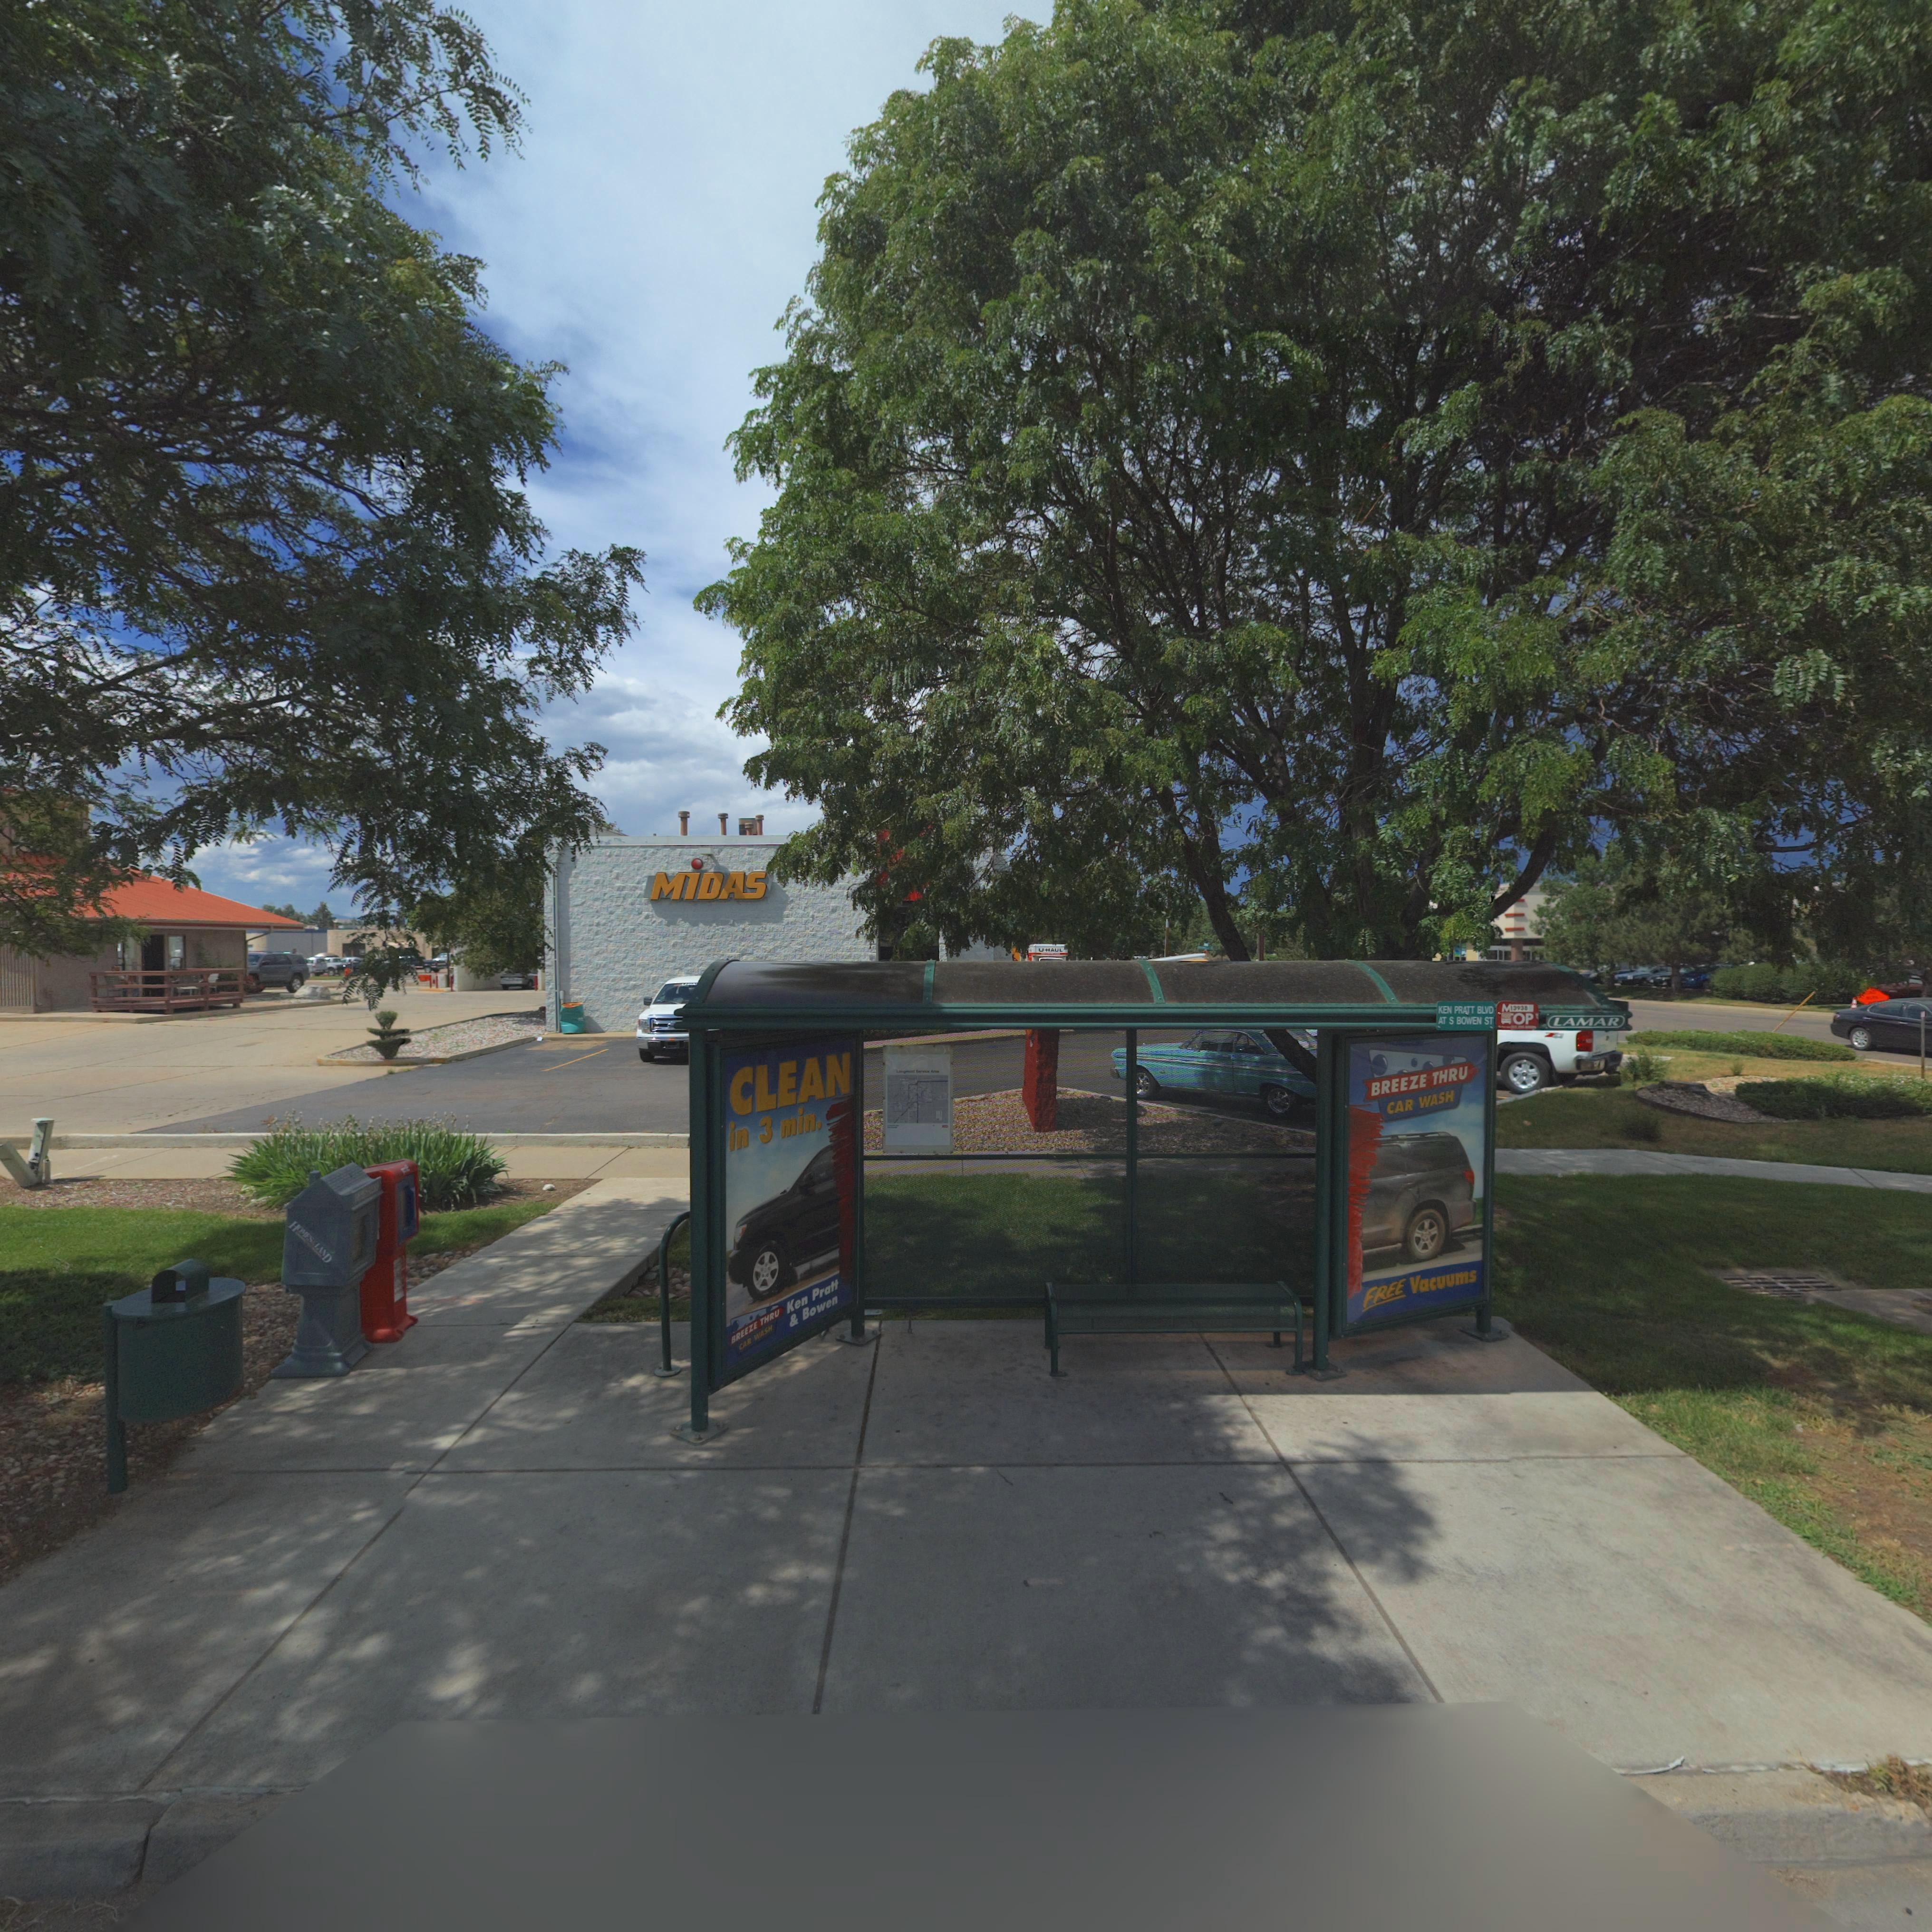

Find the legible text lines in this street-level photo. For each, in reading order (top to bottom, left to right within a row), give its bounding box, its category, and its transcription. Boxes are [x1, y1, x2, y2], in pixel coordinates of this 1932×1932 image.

[649, 858, 767, 900] BusinessName: MiDAS
[1438, 1005, 1494, 1014] StreetName: KEN PRATT BLVD
[1448, 1015, 1495, 1025] StreetName: S BOWEN ST